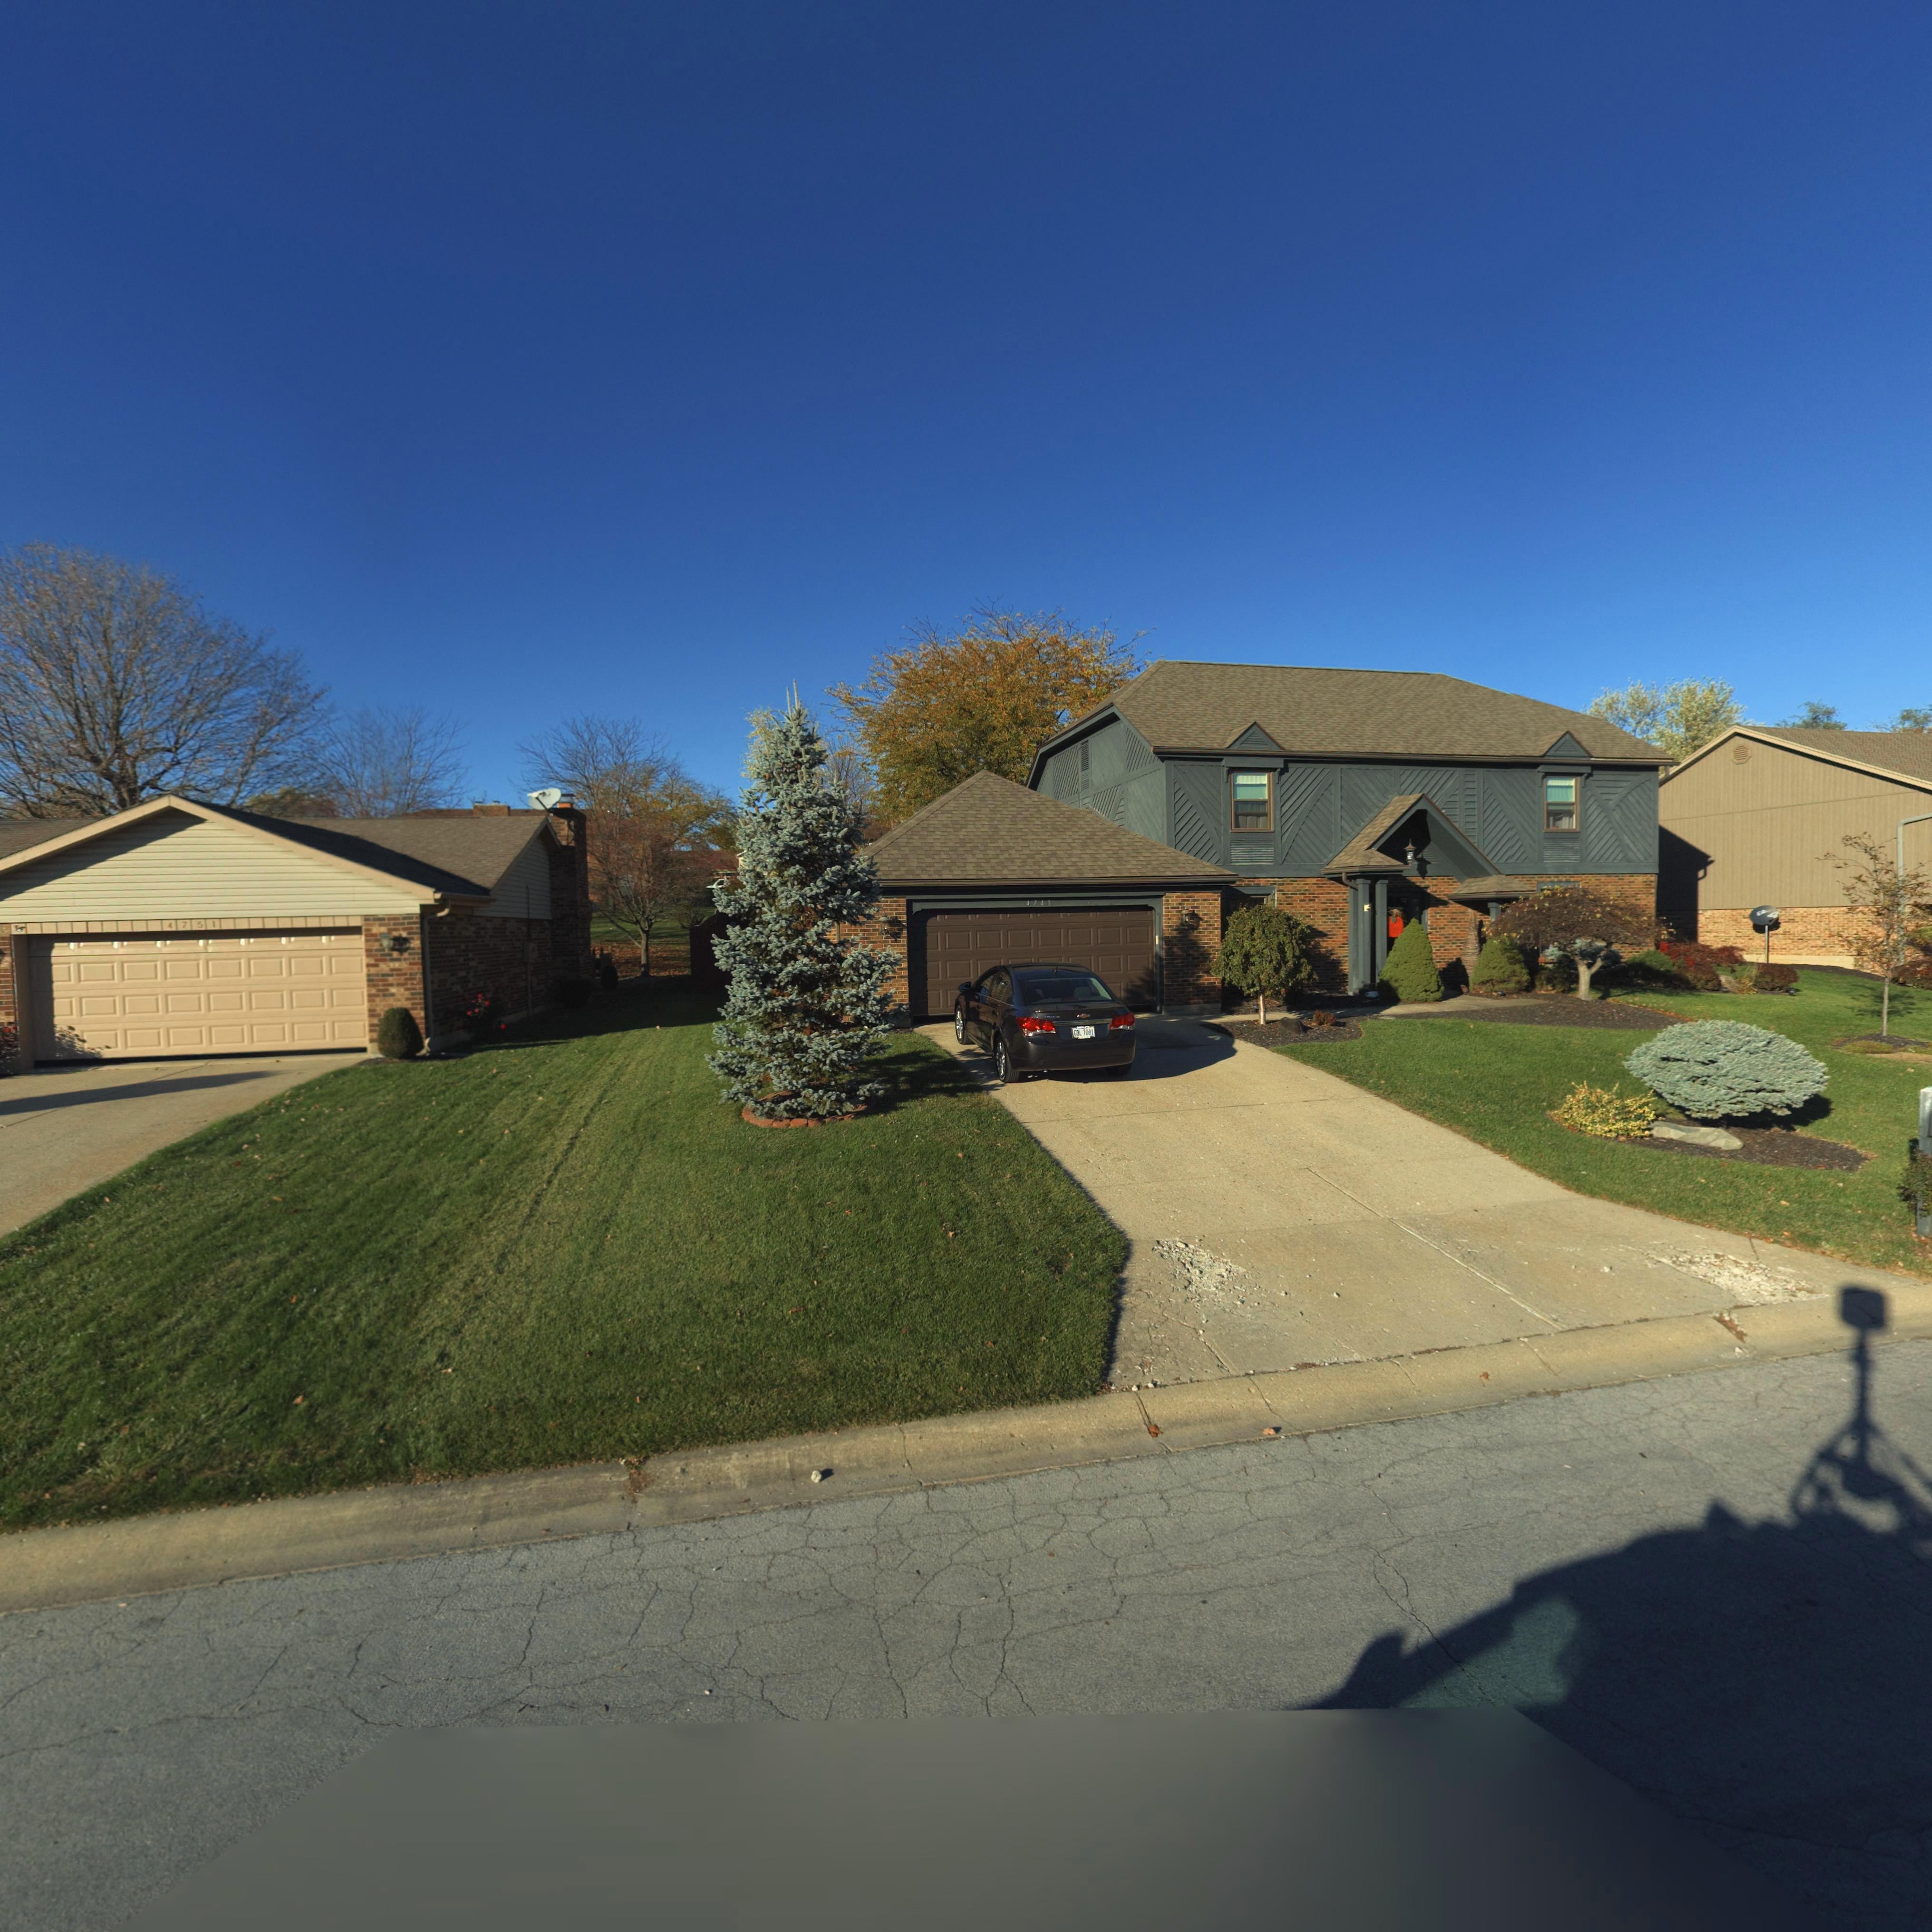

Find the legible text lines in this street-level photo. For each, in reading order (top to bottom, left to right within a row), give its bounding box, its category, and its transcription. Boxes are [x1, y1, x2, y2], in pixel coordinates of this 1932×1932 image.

[1025, 898, 1051, 907] StreetNumber: 4741
[166, 919, 217, 930] StreetNumber: 4751